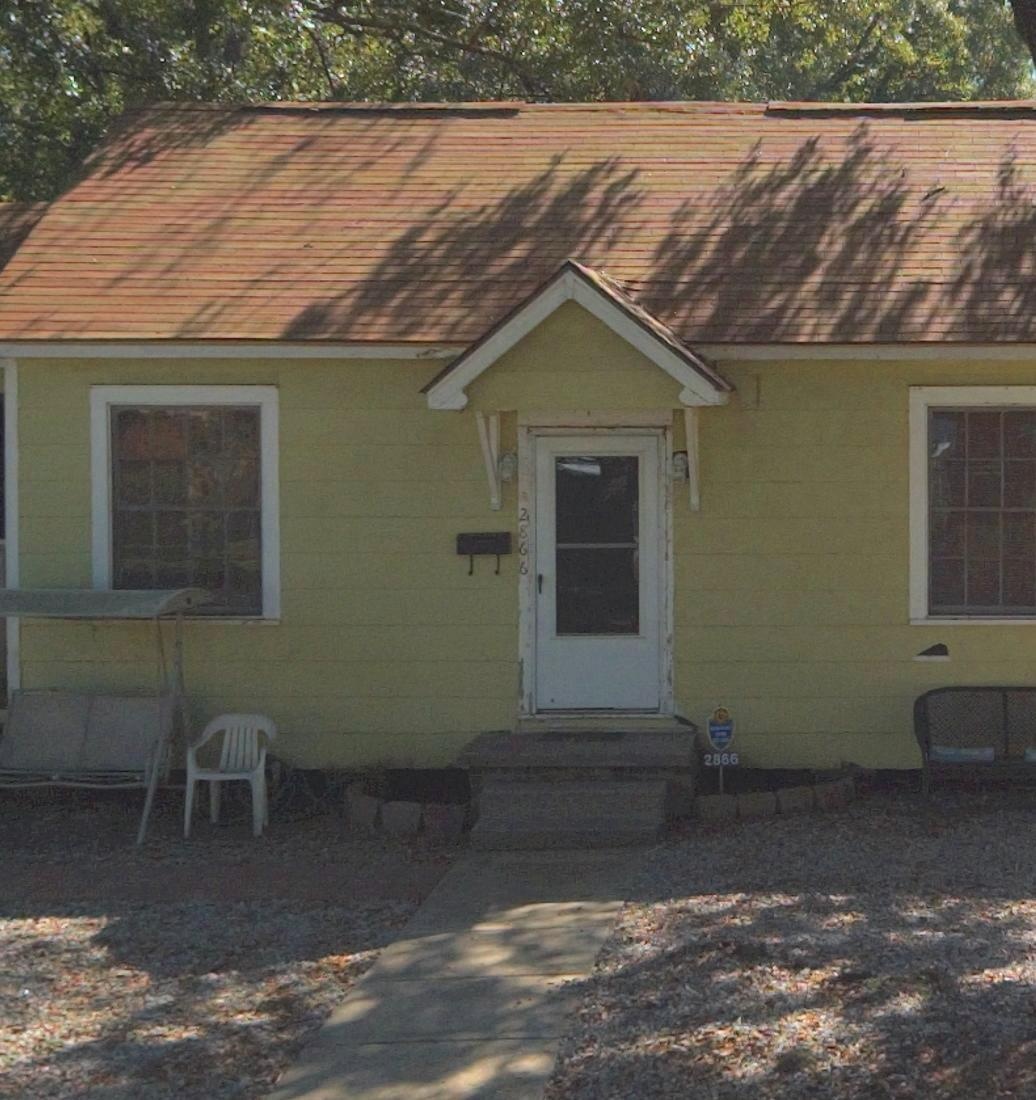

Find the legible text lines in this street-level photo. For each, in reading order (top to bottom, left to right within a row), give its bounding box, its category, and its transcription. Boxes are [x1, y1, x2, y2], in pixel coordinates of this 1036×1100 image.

[517, 506, 529, 577] StreetNumber: 2866
[702, 752, 739, 767] StreetNumber: 2866